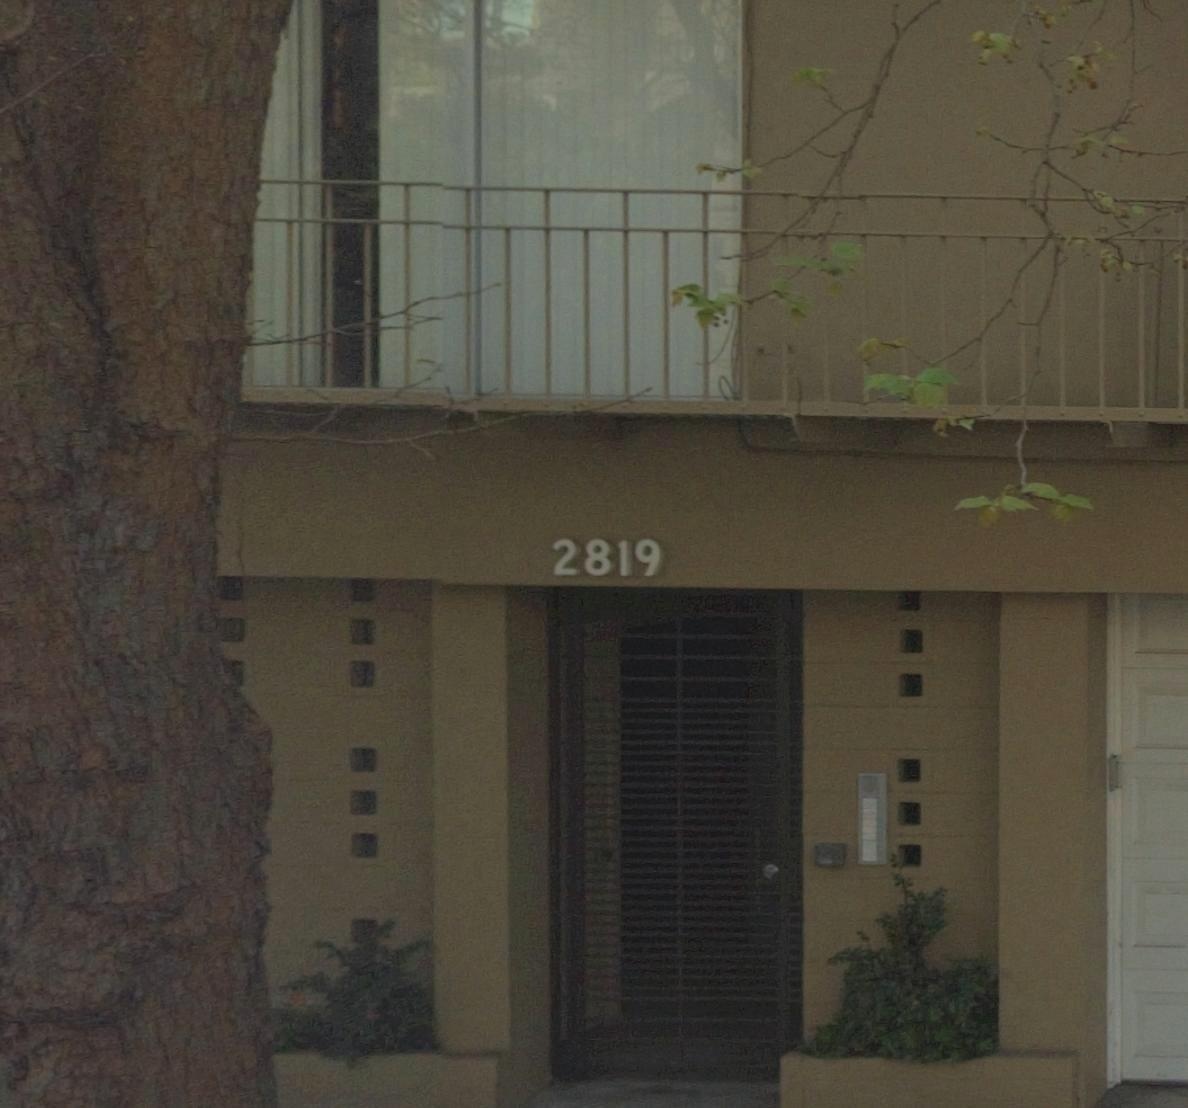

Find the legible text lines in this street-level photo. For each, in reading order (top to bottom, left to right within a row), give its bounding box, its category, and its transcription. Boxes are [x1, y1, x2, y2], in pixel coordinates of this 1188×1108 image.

[547, 535, 666, 580] StreetNumber: 2819